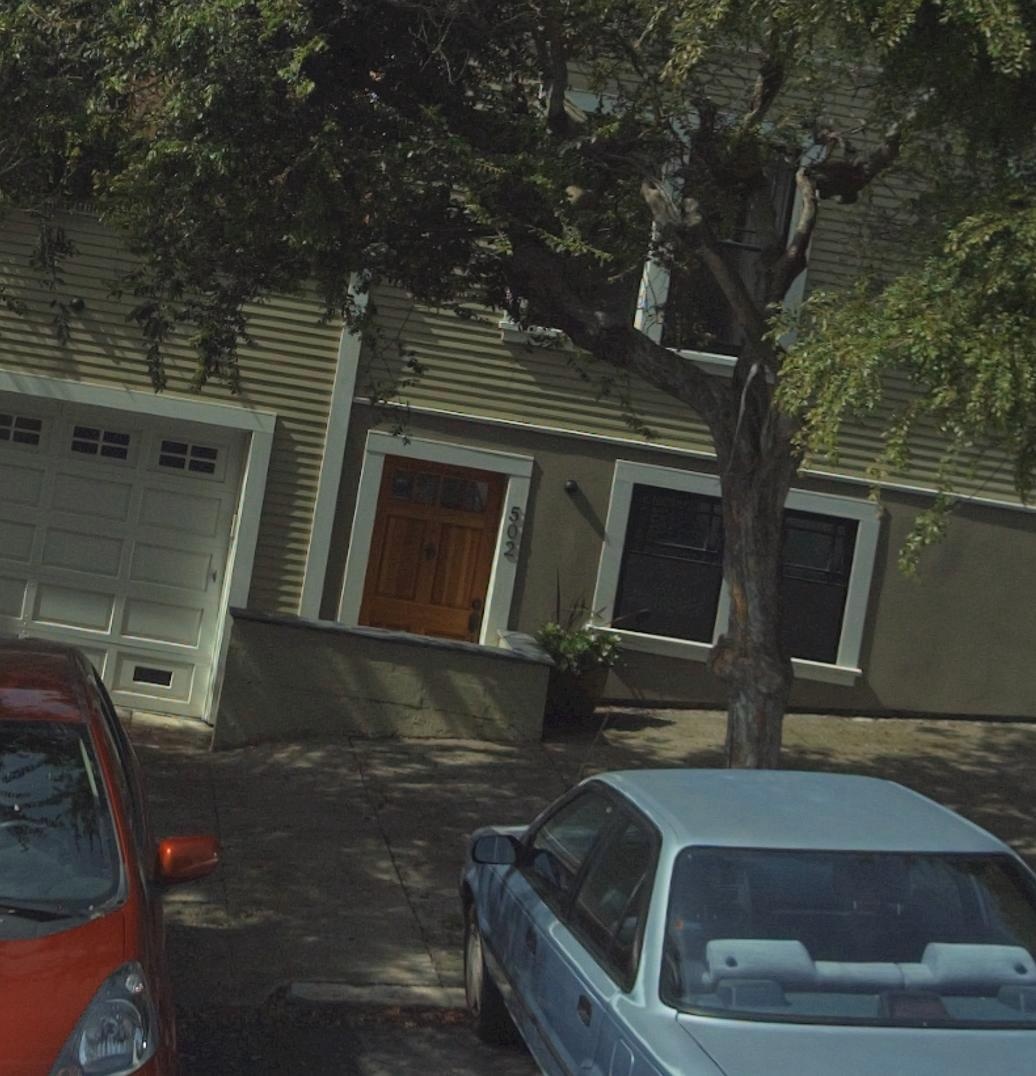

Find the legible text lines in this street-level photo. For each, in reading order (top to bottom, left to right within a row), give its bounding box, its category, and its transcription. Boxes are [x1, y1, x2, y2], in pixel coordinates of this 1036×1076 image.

[499, 503, 525, 559] StreetNumber: 502